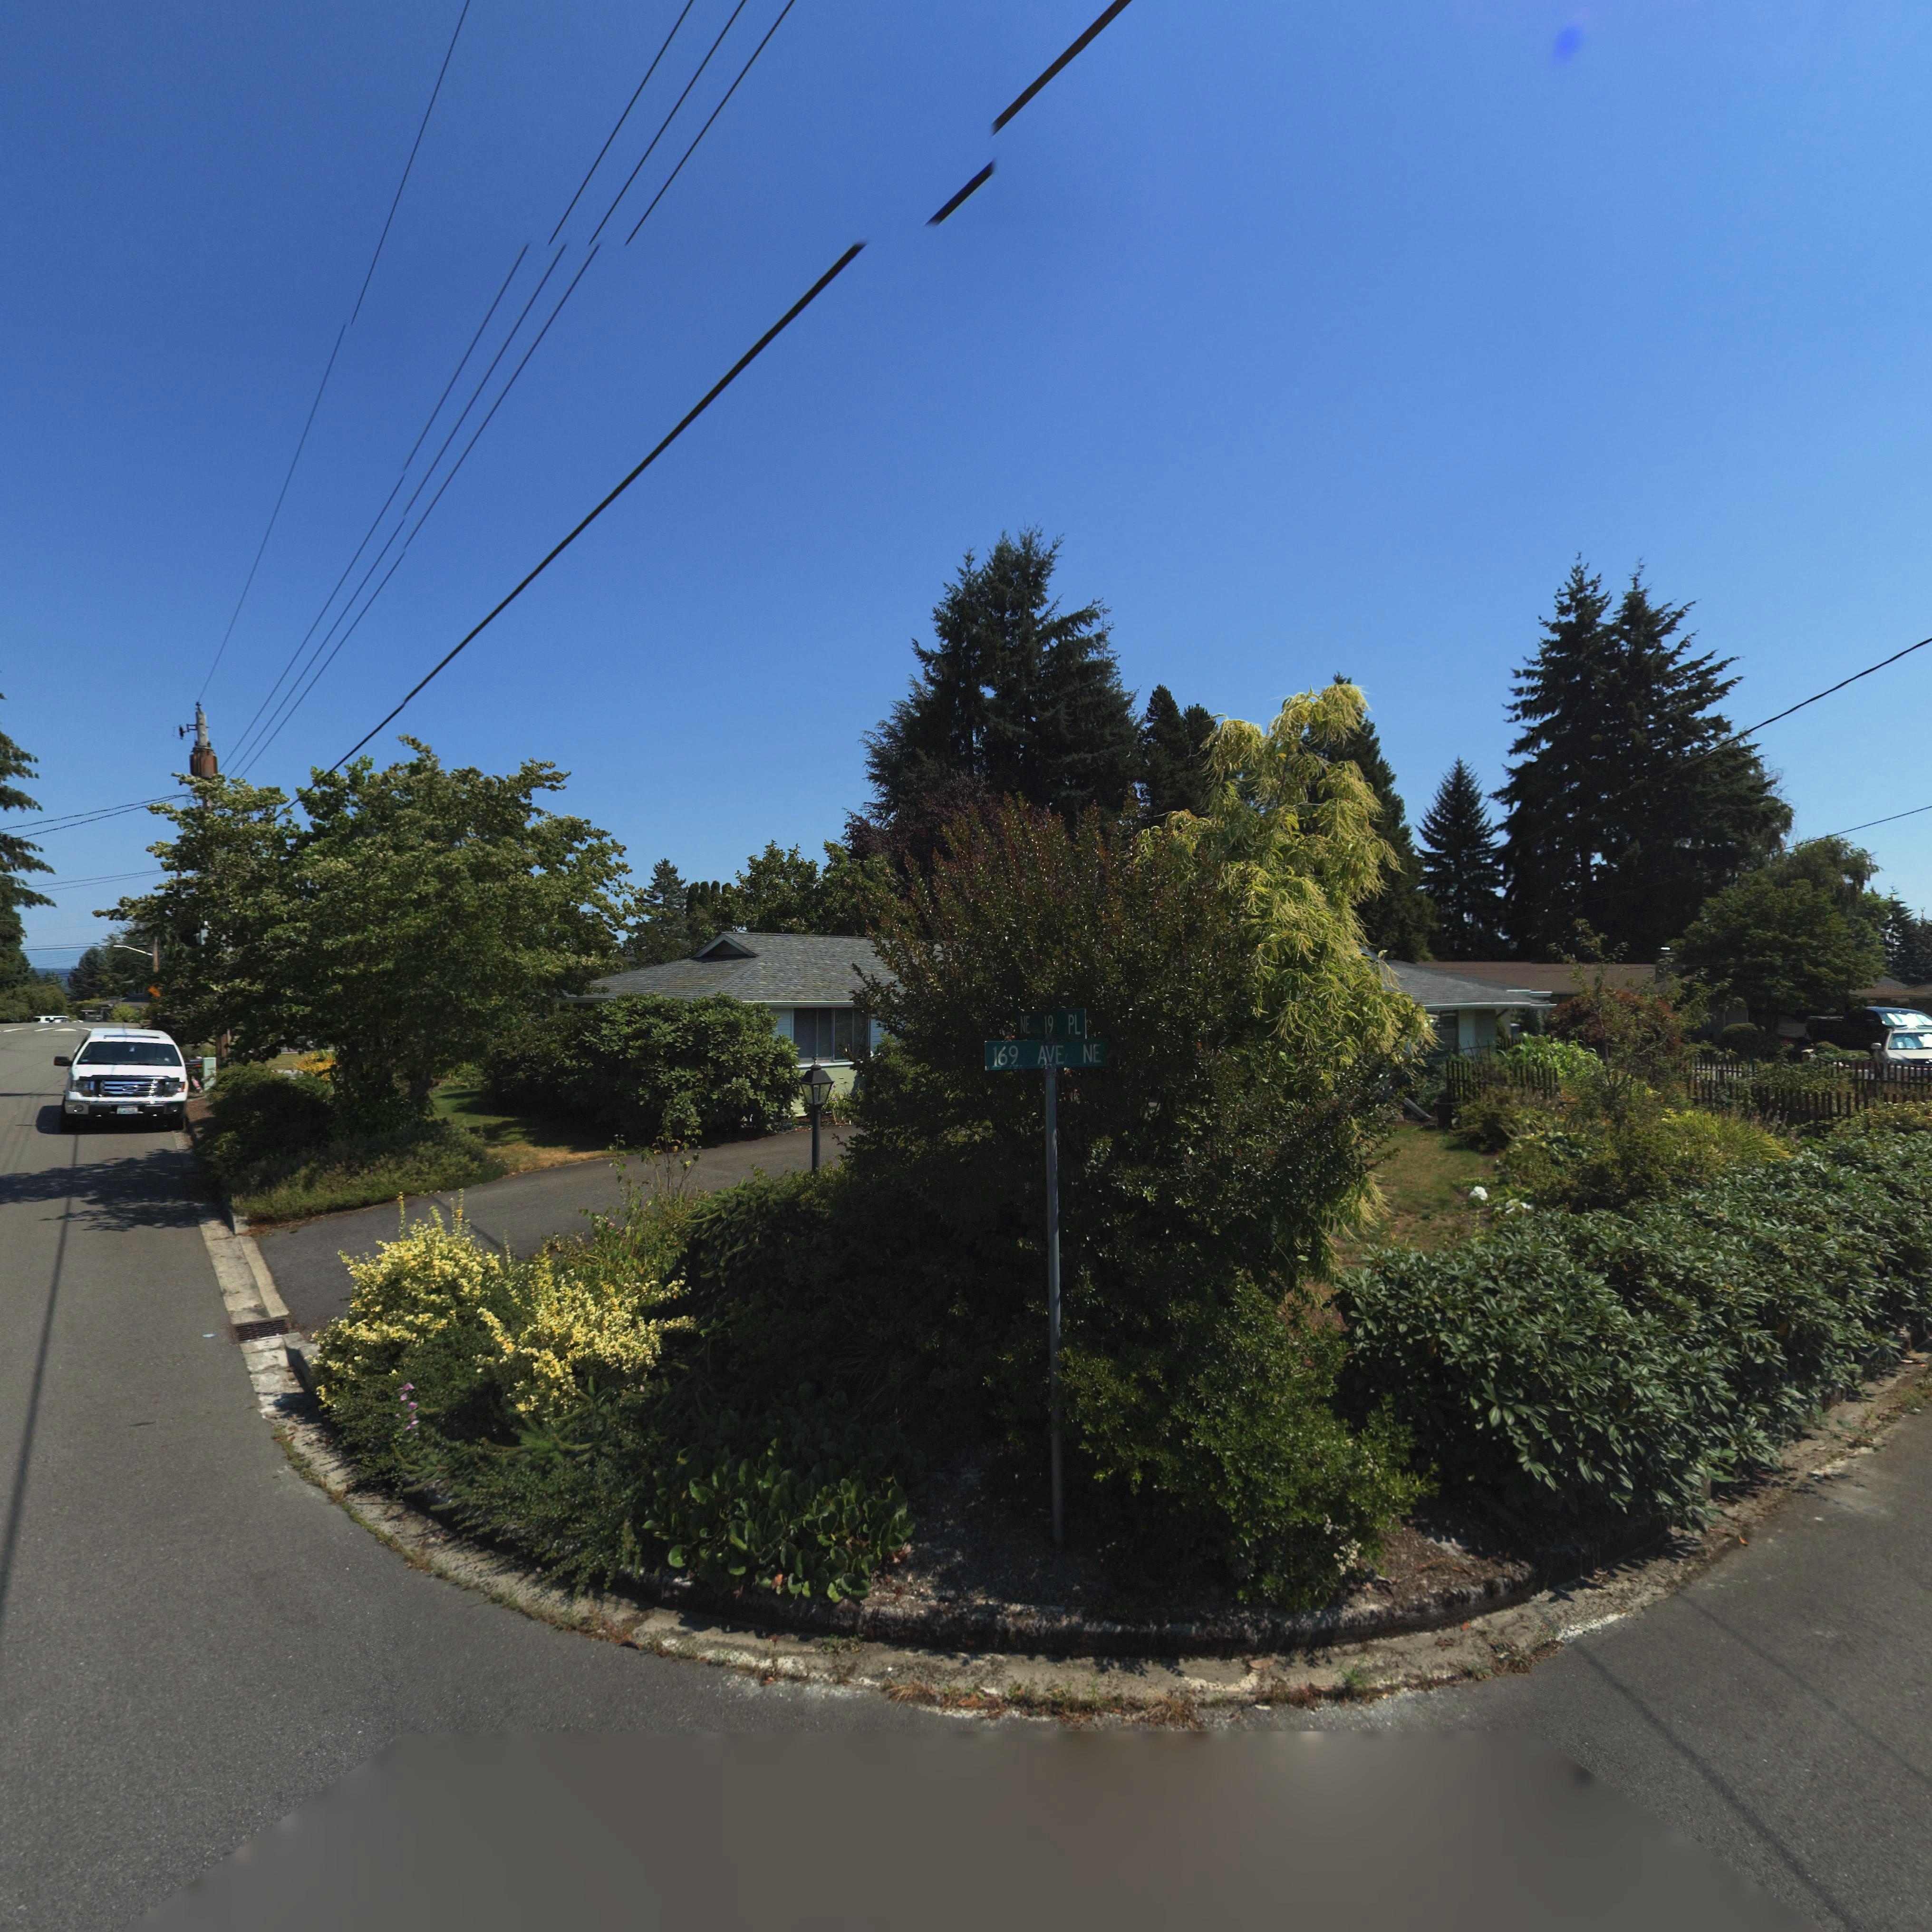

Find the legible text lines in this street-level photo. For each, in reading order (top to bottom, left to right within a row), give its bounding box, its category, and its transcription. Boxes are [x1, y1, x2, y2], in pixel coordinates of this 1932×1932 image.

[1019, 1014, 1082, 1034] StreetName: NE 19 PL
[992, 1043, 1102, 1066] StreetName: 169 AVE NE